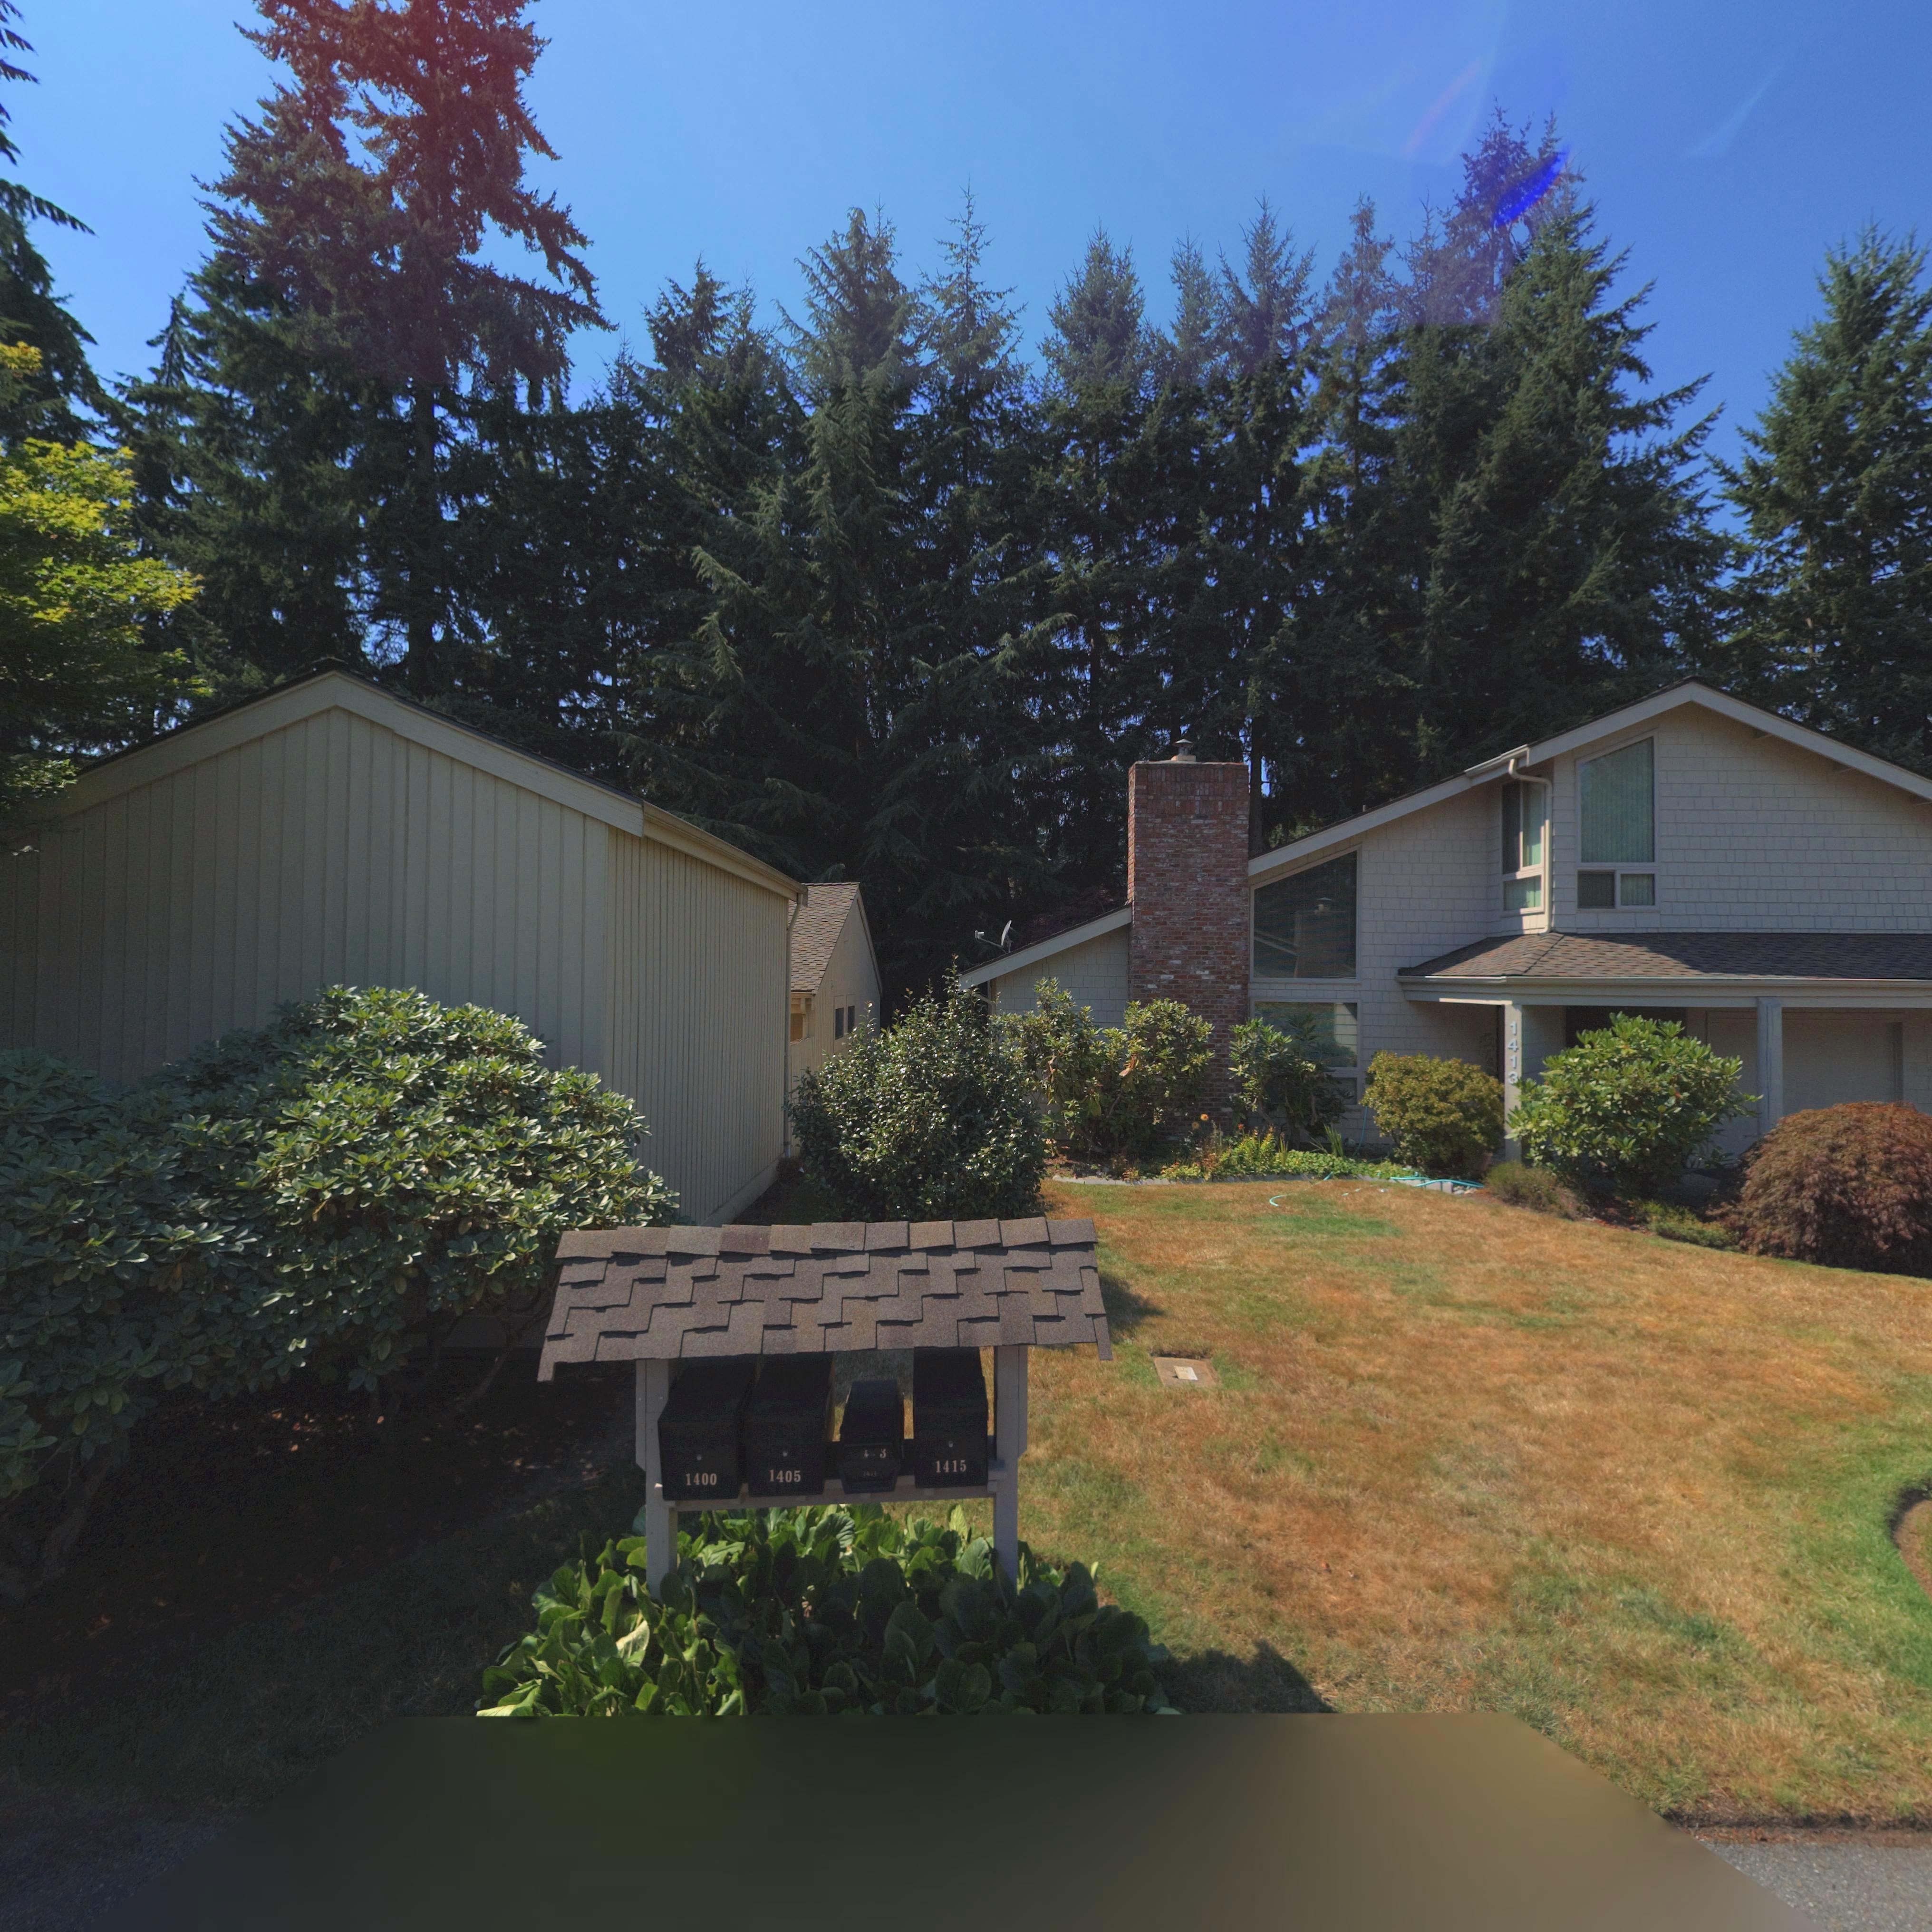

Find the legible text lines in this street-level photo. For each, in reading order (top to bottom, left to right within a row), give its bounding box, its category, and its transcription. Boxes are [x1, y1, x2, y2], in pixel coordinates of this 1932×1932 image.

[1507, 1022, 1518, 1084] StreetNumber: 1413
[879, 1447, 887, 1459] StreetNumber: 3
[934, 1459, 967, 1473] StreetNumber: 1415
[686, 1472, 718, 1486] StreetNumber: 1400
[769, 1469, 802, 1483] StreetNumber: 1405